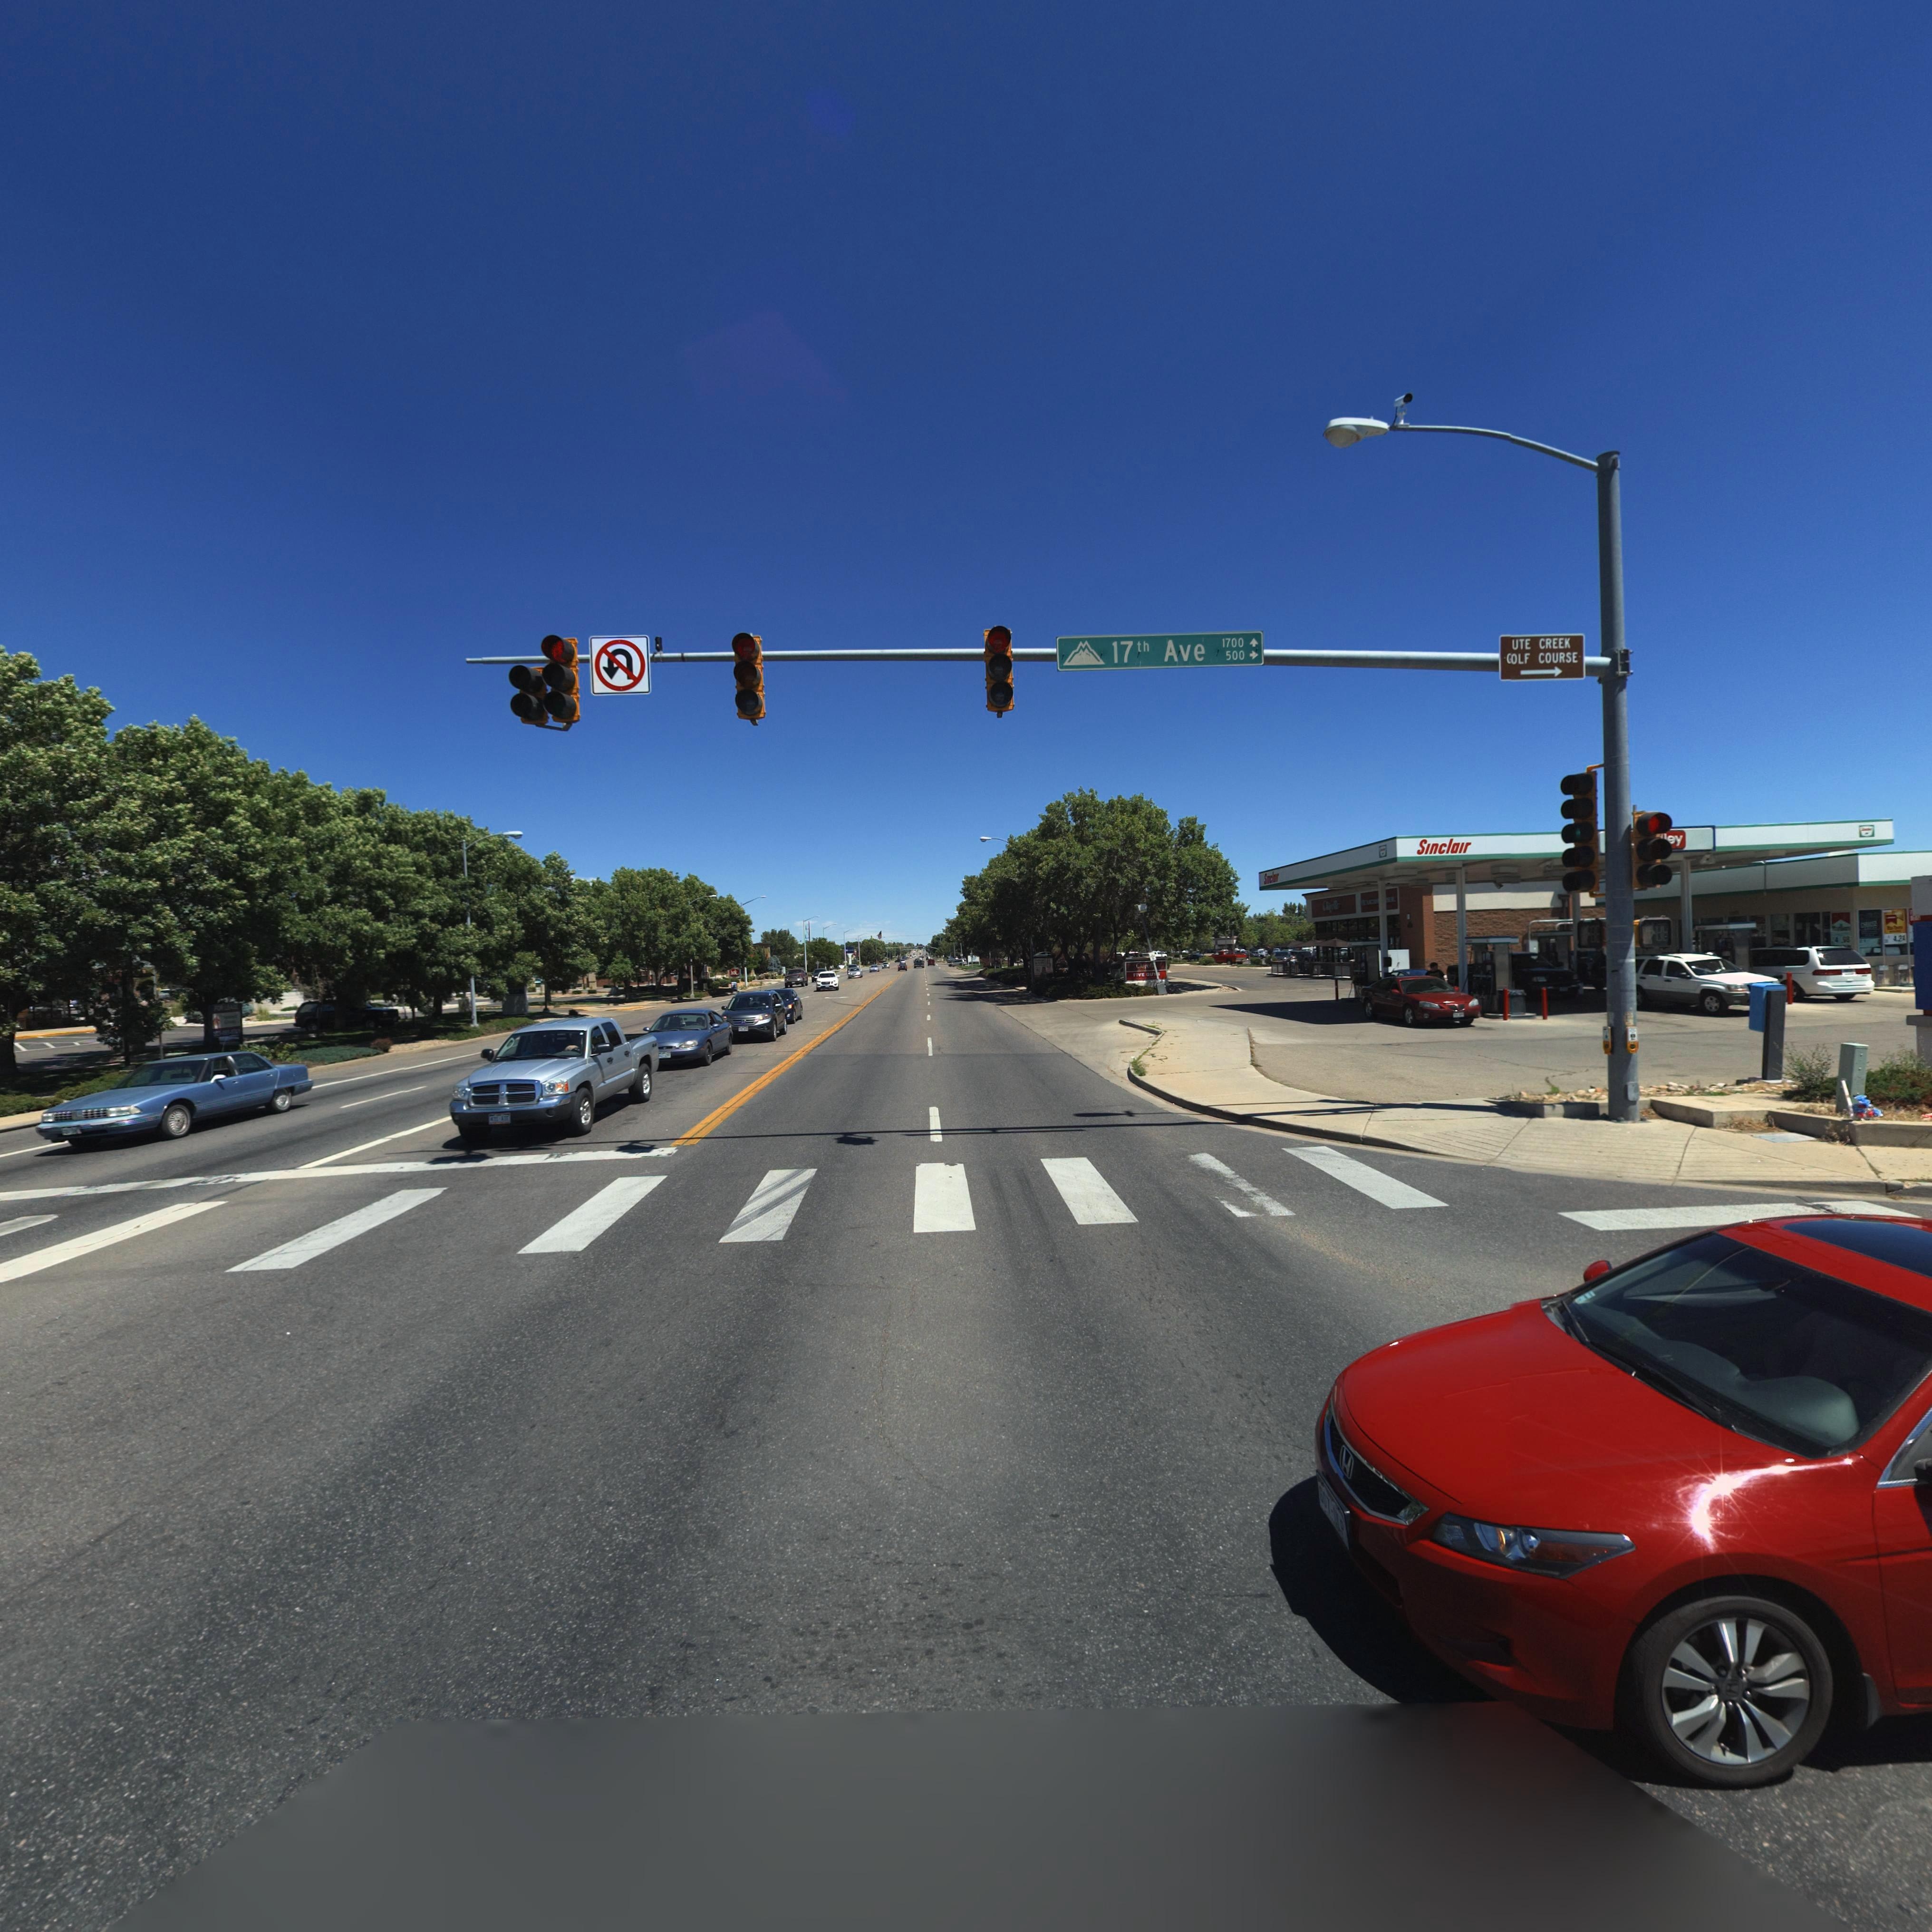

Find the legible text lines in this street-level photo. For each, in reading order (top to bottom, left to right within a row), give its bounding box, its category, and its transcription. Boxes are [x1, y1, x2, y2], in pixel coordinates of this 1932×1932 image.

[1221, 637, 1244, 648] StreetNumberRange: 1700
[1109, 638, 1206, 664] StreetName: 17th Ave
[1225, 649, 1259, 661] StreetNumberRange: 500->
[1667, 835, 1684, 846] BusinessName: ey
[1414, 837, 1474, 856] BusinessName: Sinclair
[1264, 870, 1280, 884] BusinessName: Sinclair
[1321, 899, 1341, 914] BusinessName: Chipotle
[1135, 962, 1158, 970] BusinessName: Chipo*l*
[1132, 972, 1160, 977] BusinessName: FIVE GUY*